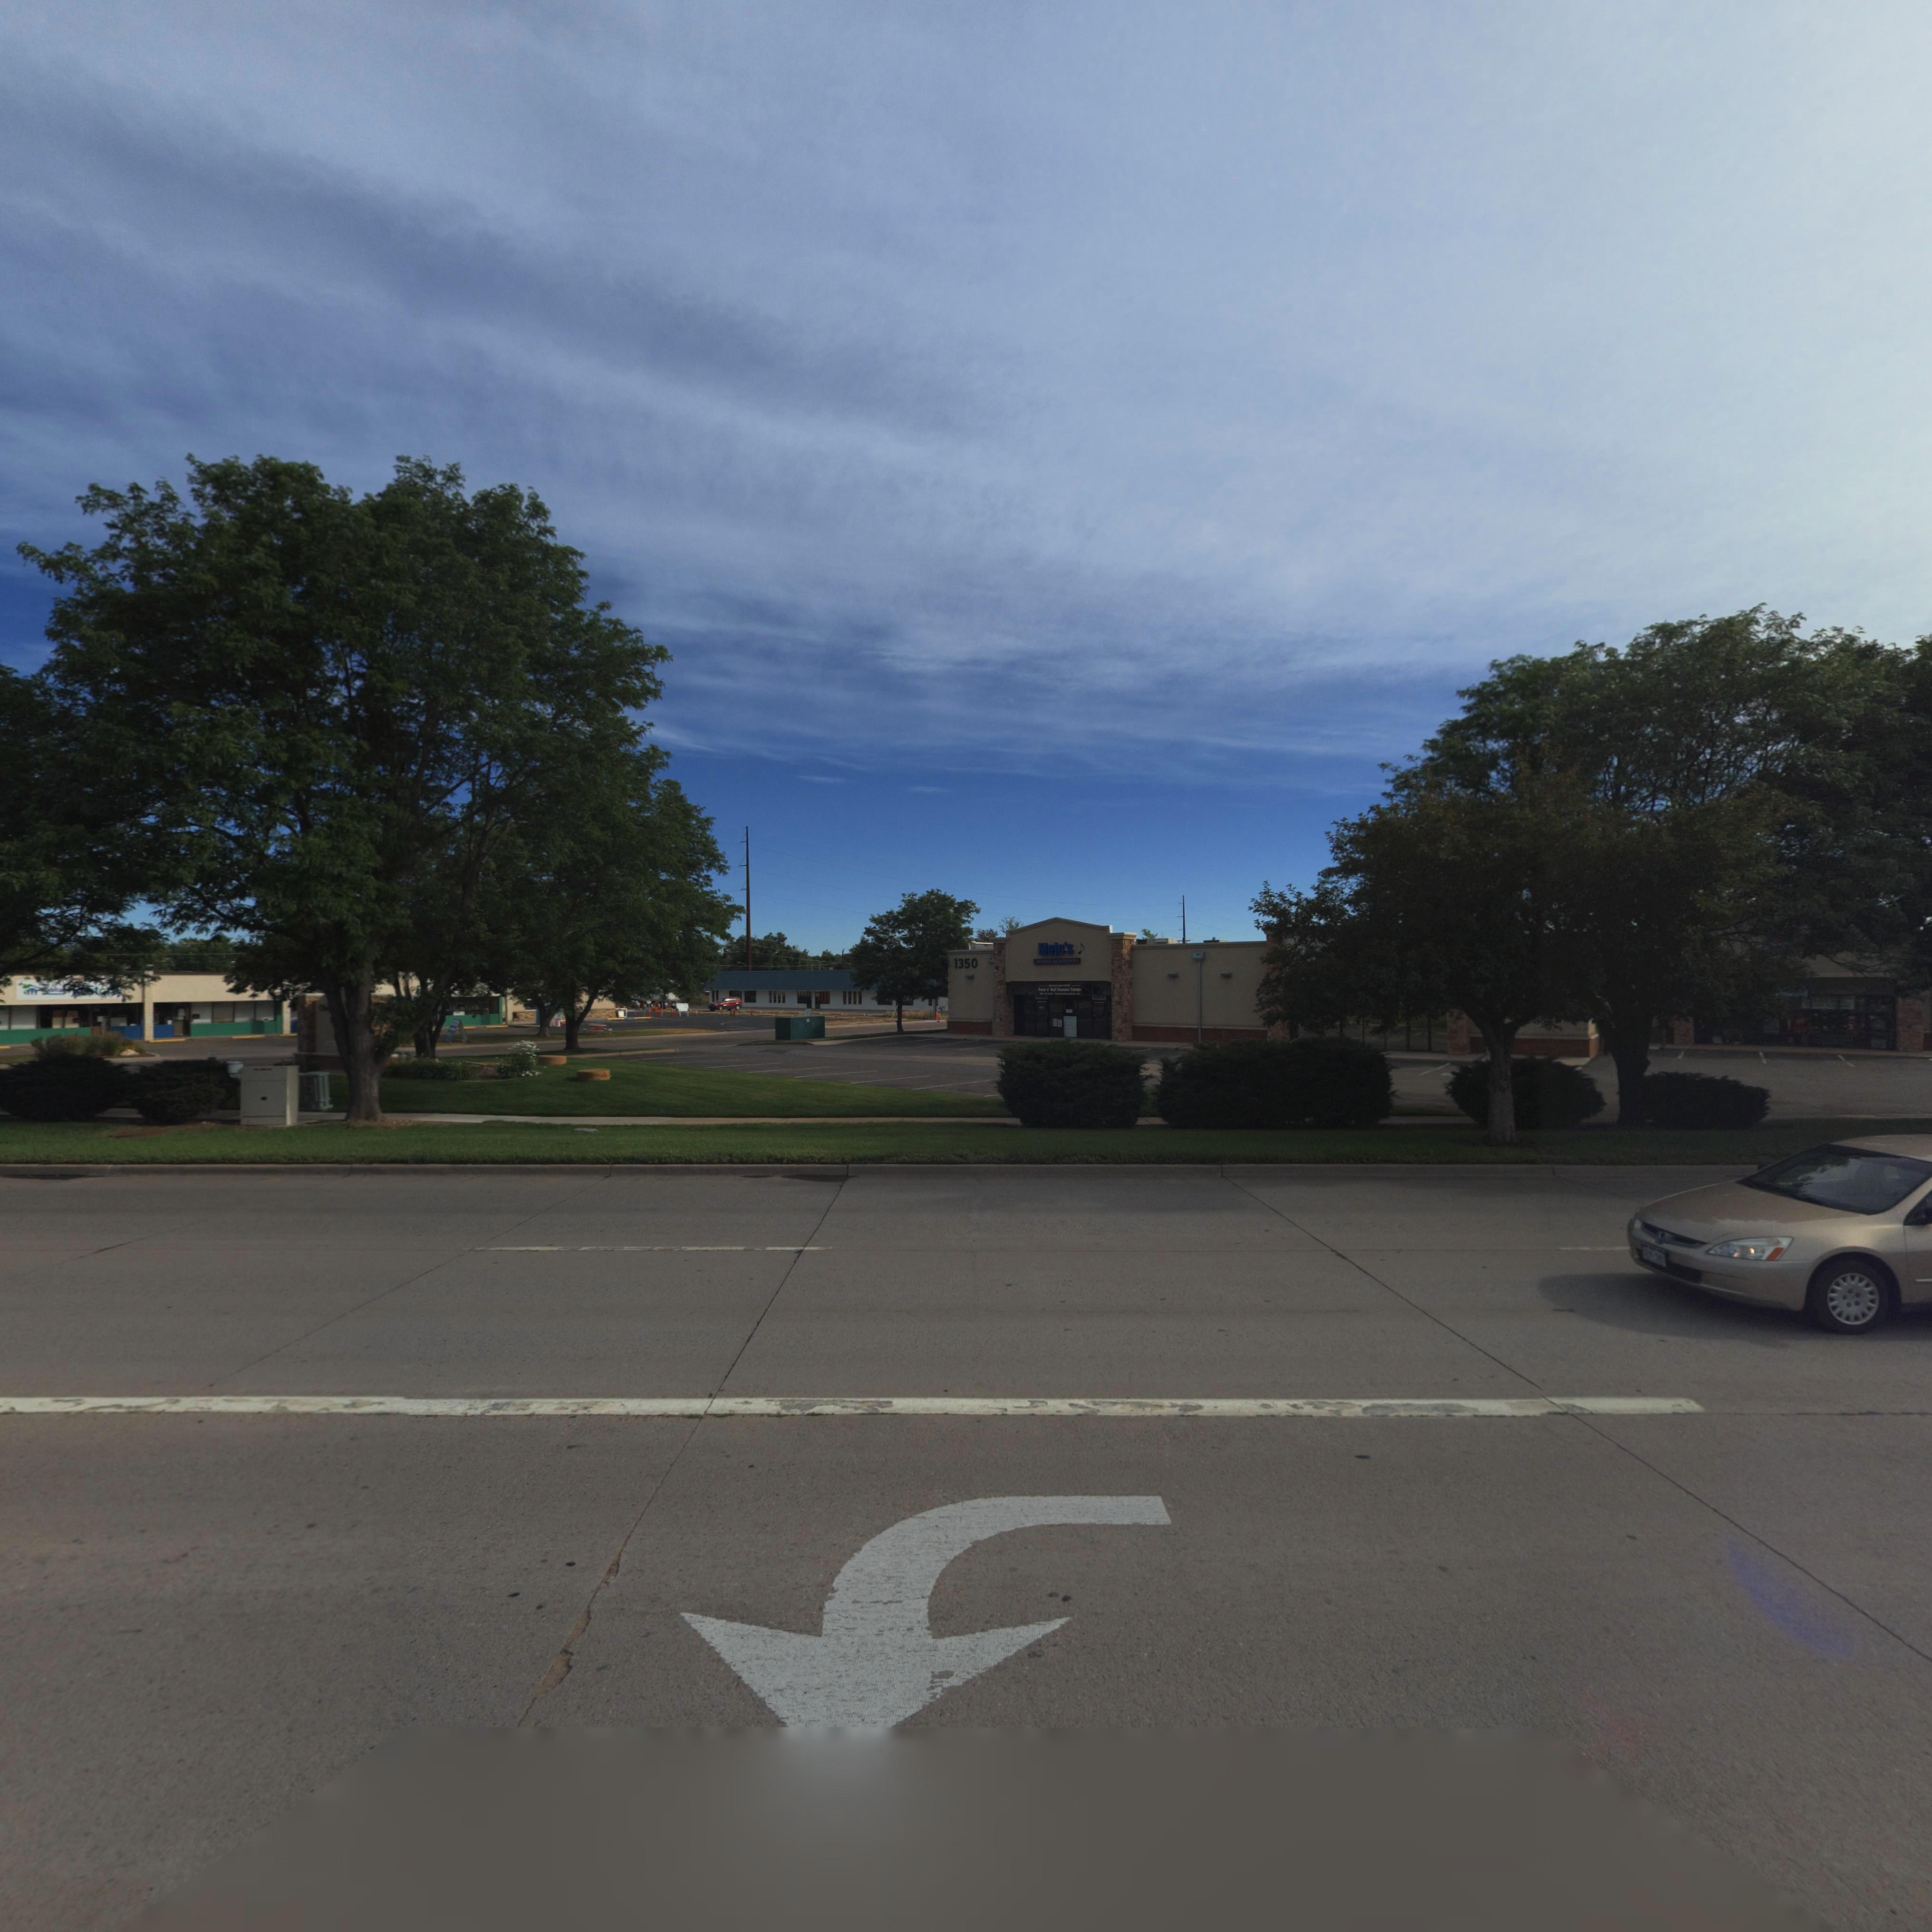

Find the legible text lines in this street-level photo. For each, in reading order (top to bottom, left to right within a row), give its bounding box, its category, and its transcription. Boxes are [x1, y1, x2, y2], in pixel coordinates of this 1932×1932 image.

[1037, 941, 1074, 957] BusinessName: Mojo's
[953, 957, 978, 969] StreetNumber: 1350